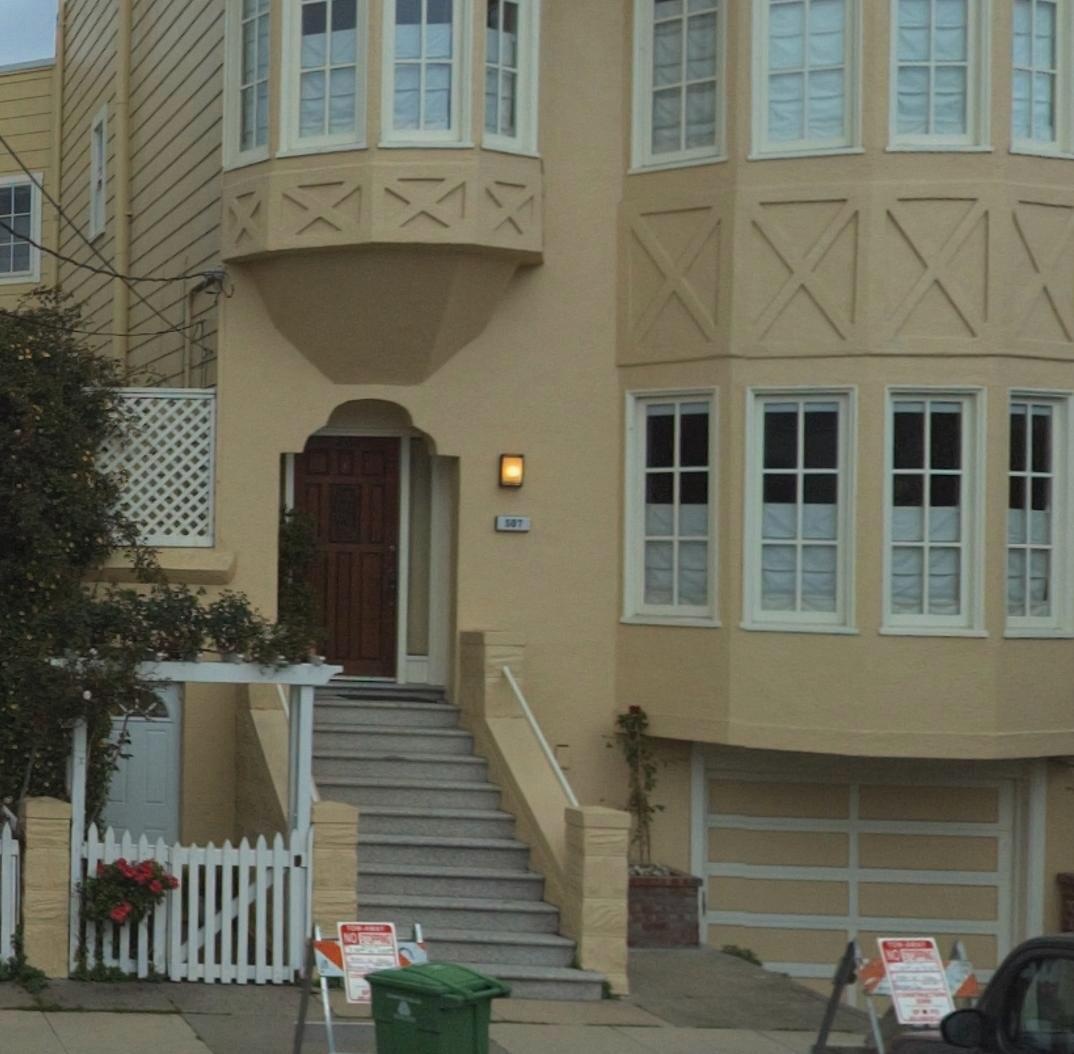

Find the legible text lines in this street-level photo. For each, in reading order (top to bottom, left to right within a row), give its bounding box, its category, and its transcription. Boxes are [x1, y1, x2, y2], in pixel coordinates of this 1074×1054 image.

[504, 518, 524, 528] StreetNumber: 507
[343, 924, 387, 932] None: TOW-AWAY
[343, 932, 392, 944] None: NO STOPPING
[886, 942, 928, 948] None: TOW-AWAY
[885, 950, 935, 962] None: NO STOPPING